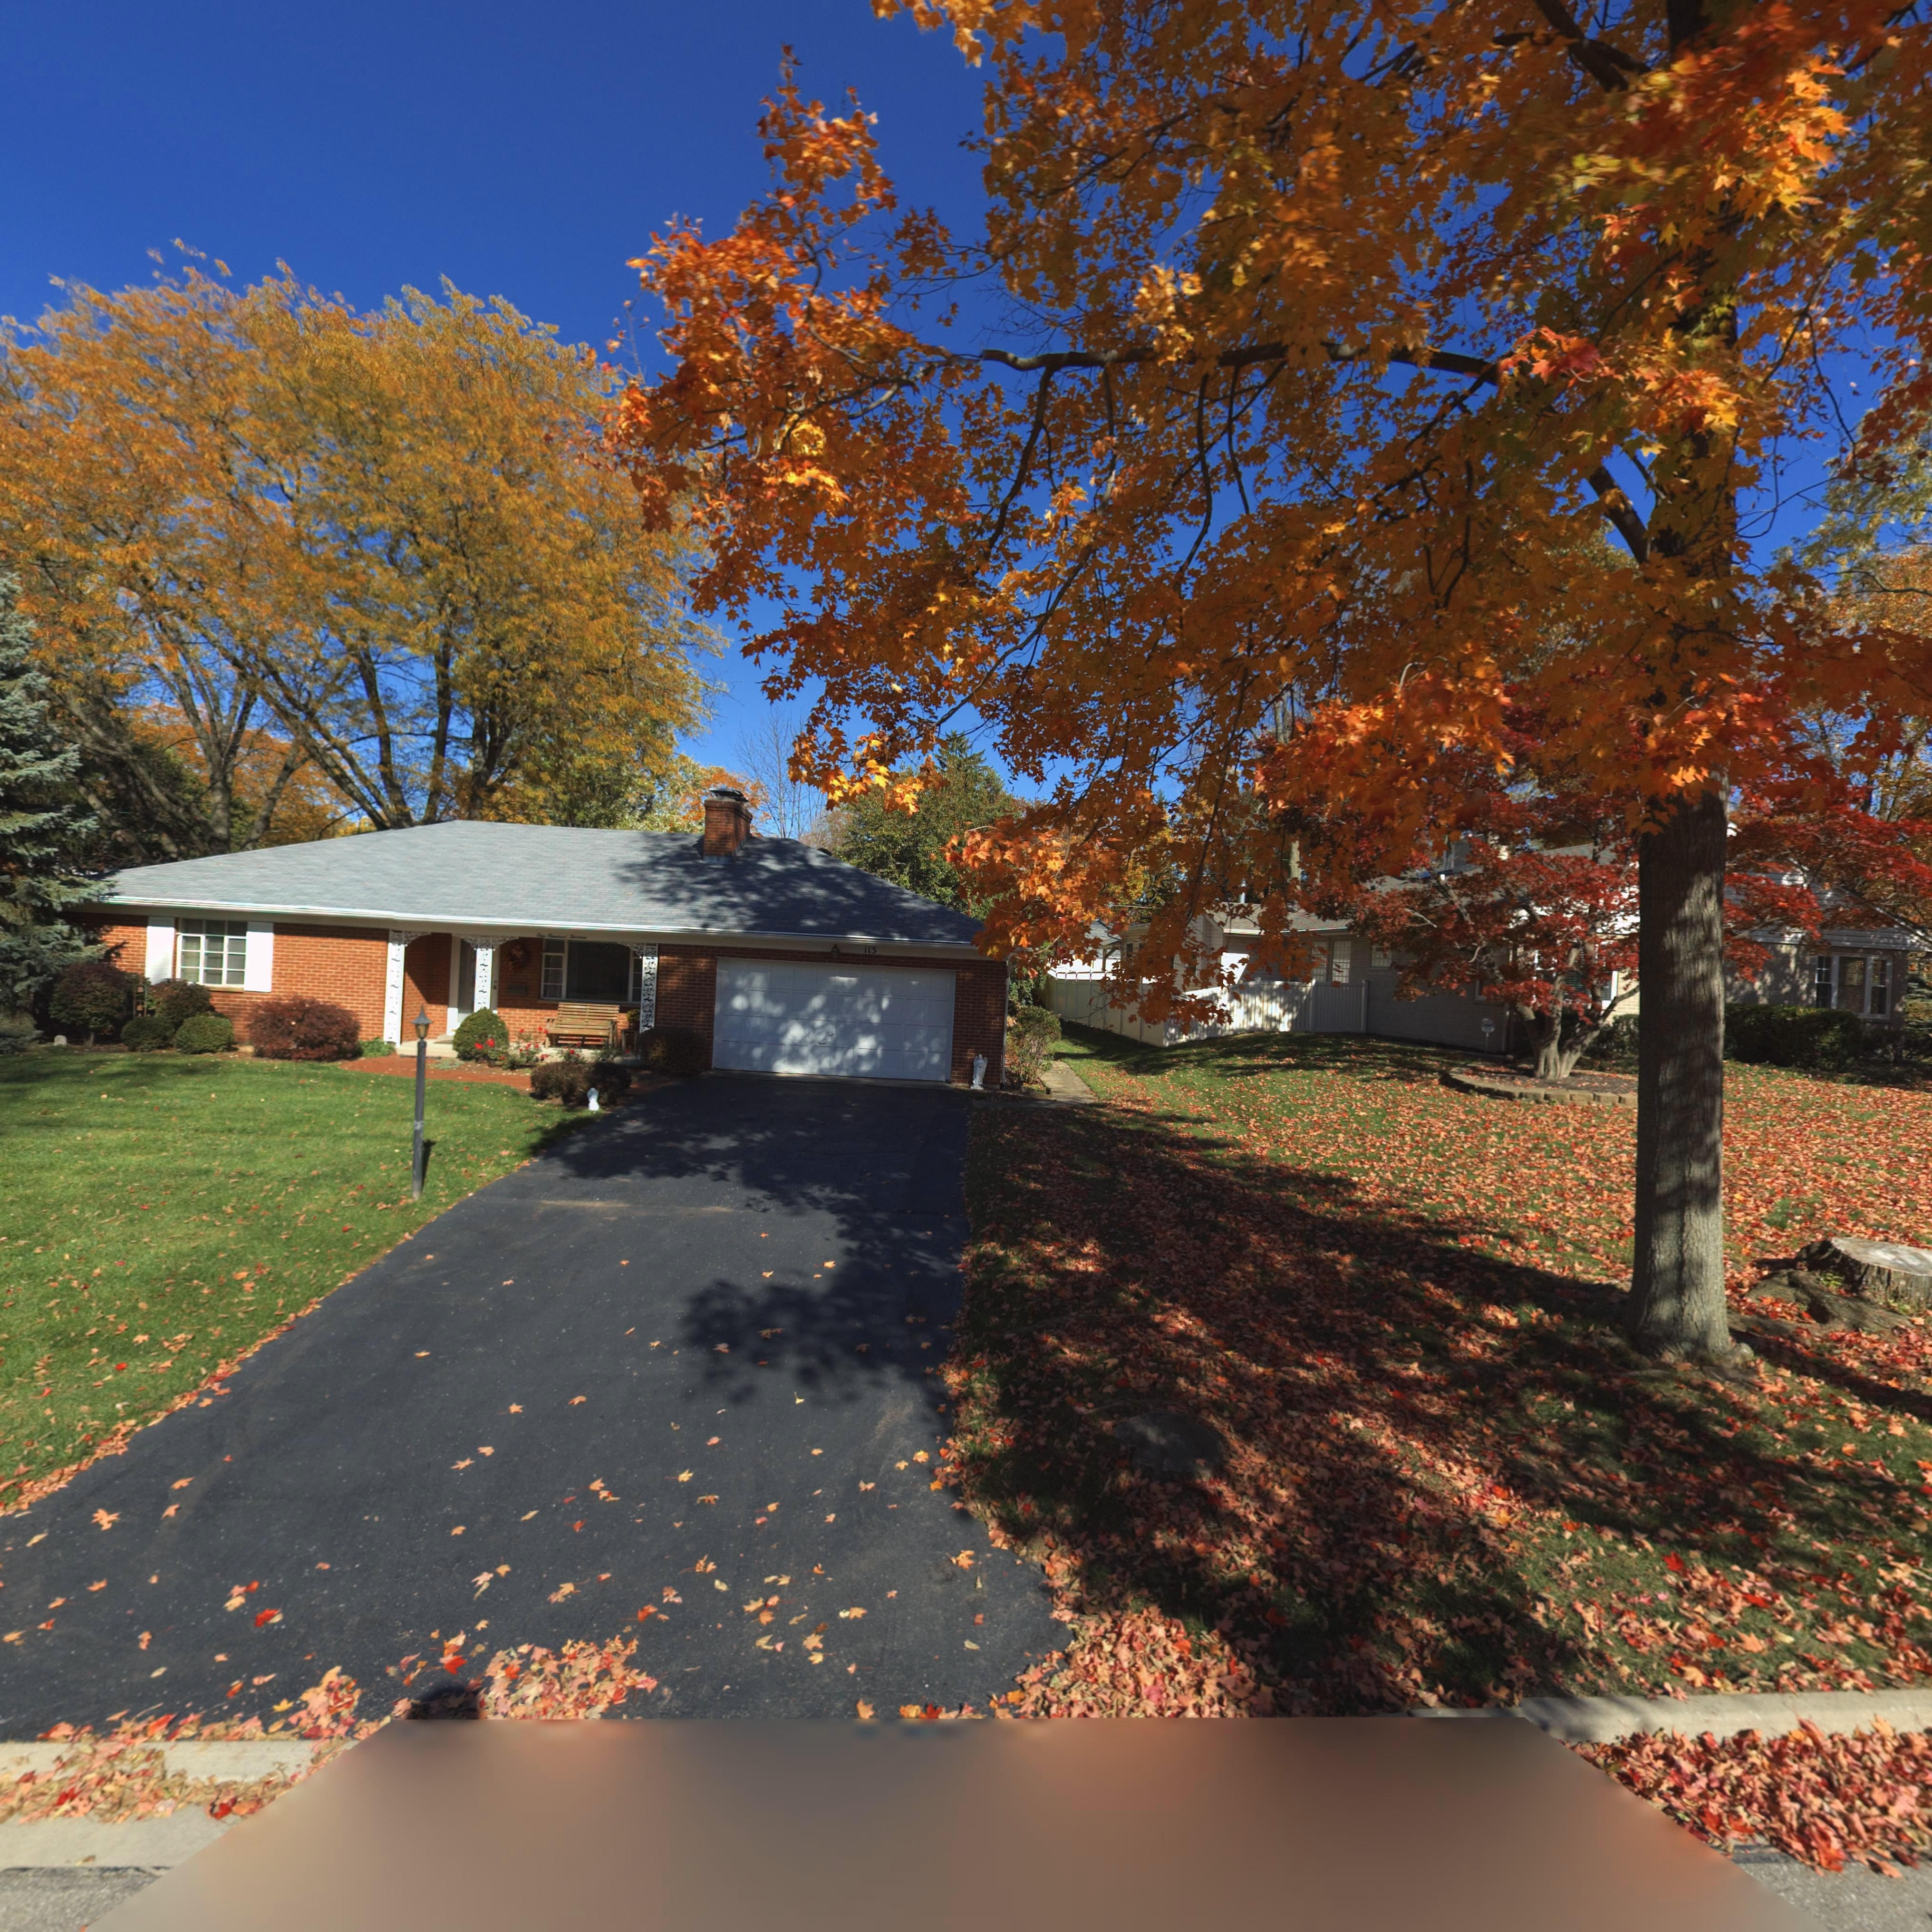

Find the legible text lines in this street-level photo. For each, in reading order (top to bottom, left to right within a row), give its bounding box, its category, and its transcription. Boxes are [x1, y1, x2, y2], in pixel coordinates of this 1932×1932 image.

[536, 932, 569, 939] StreetNumber: One Hundred
[864, 945, 877, 955] StreetNumber: 113